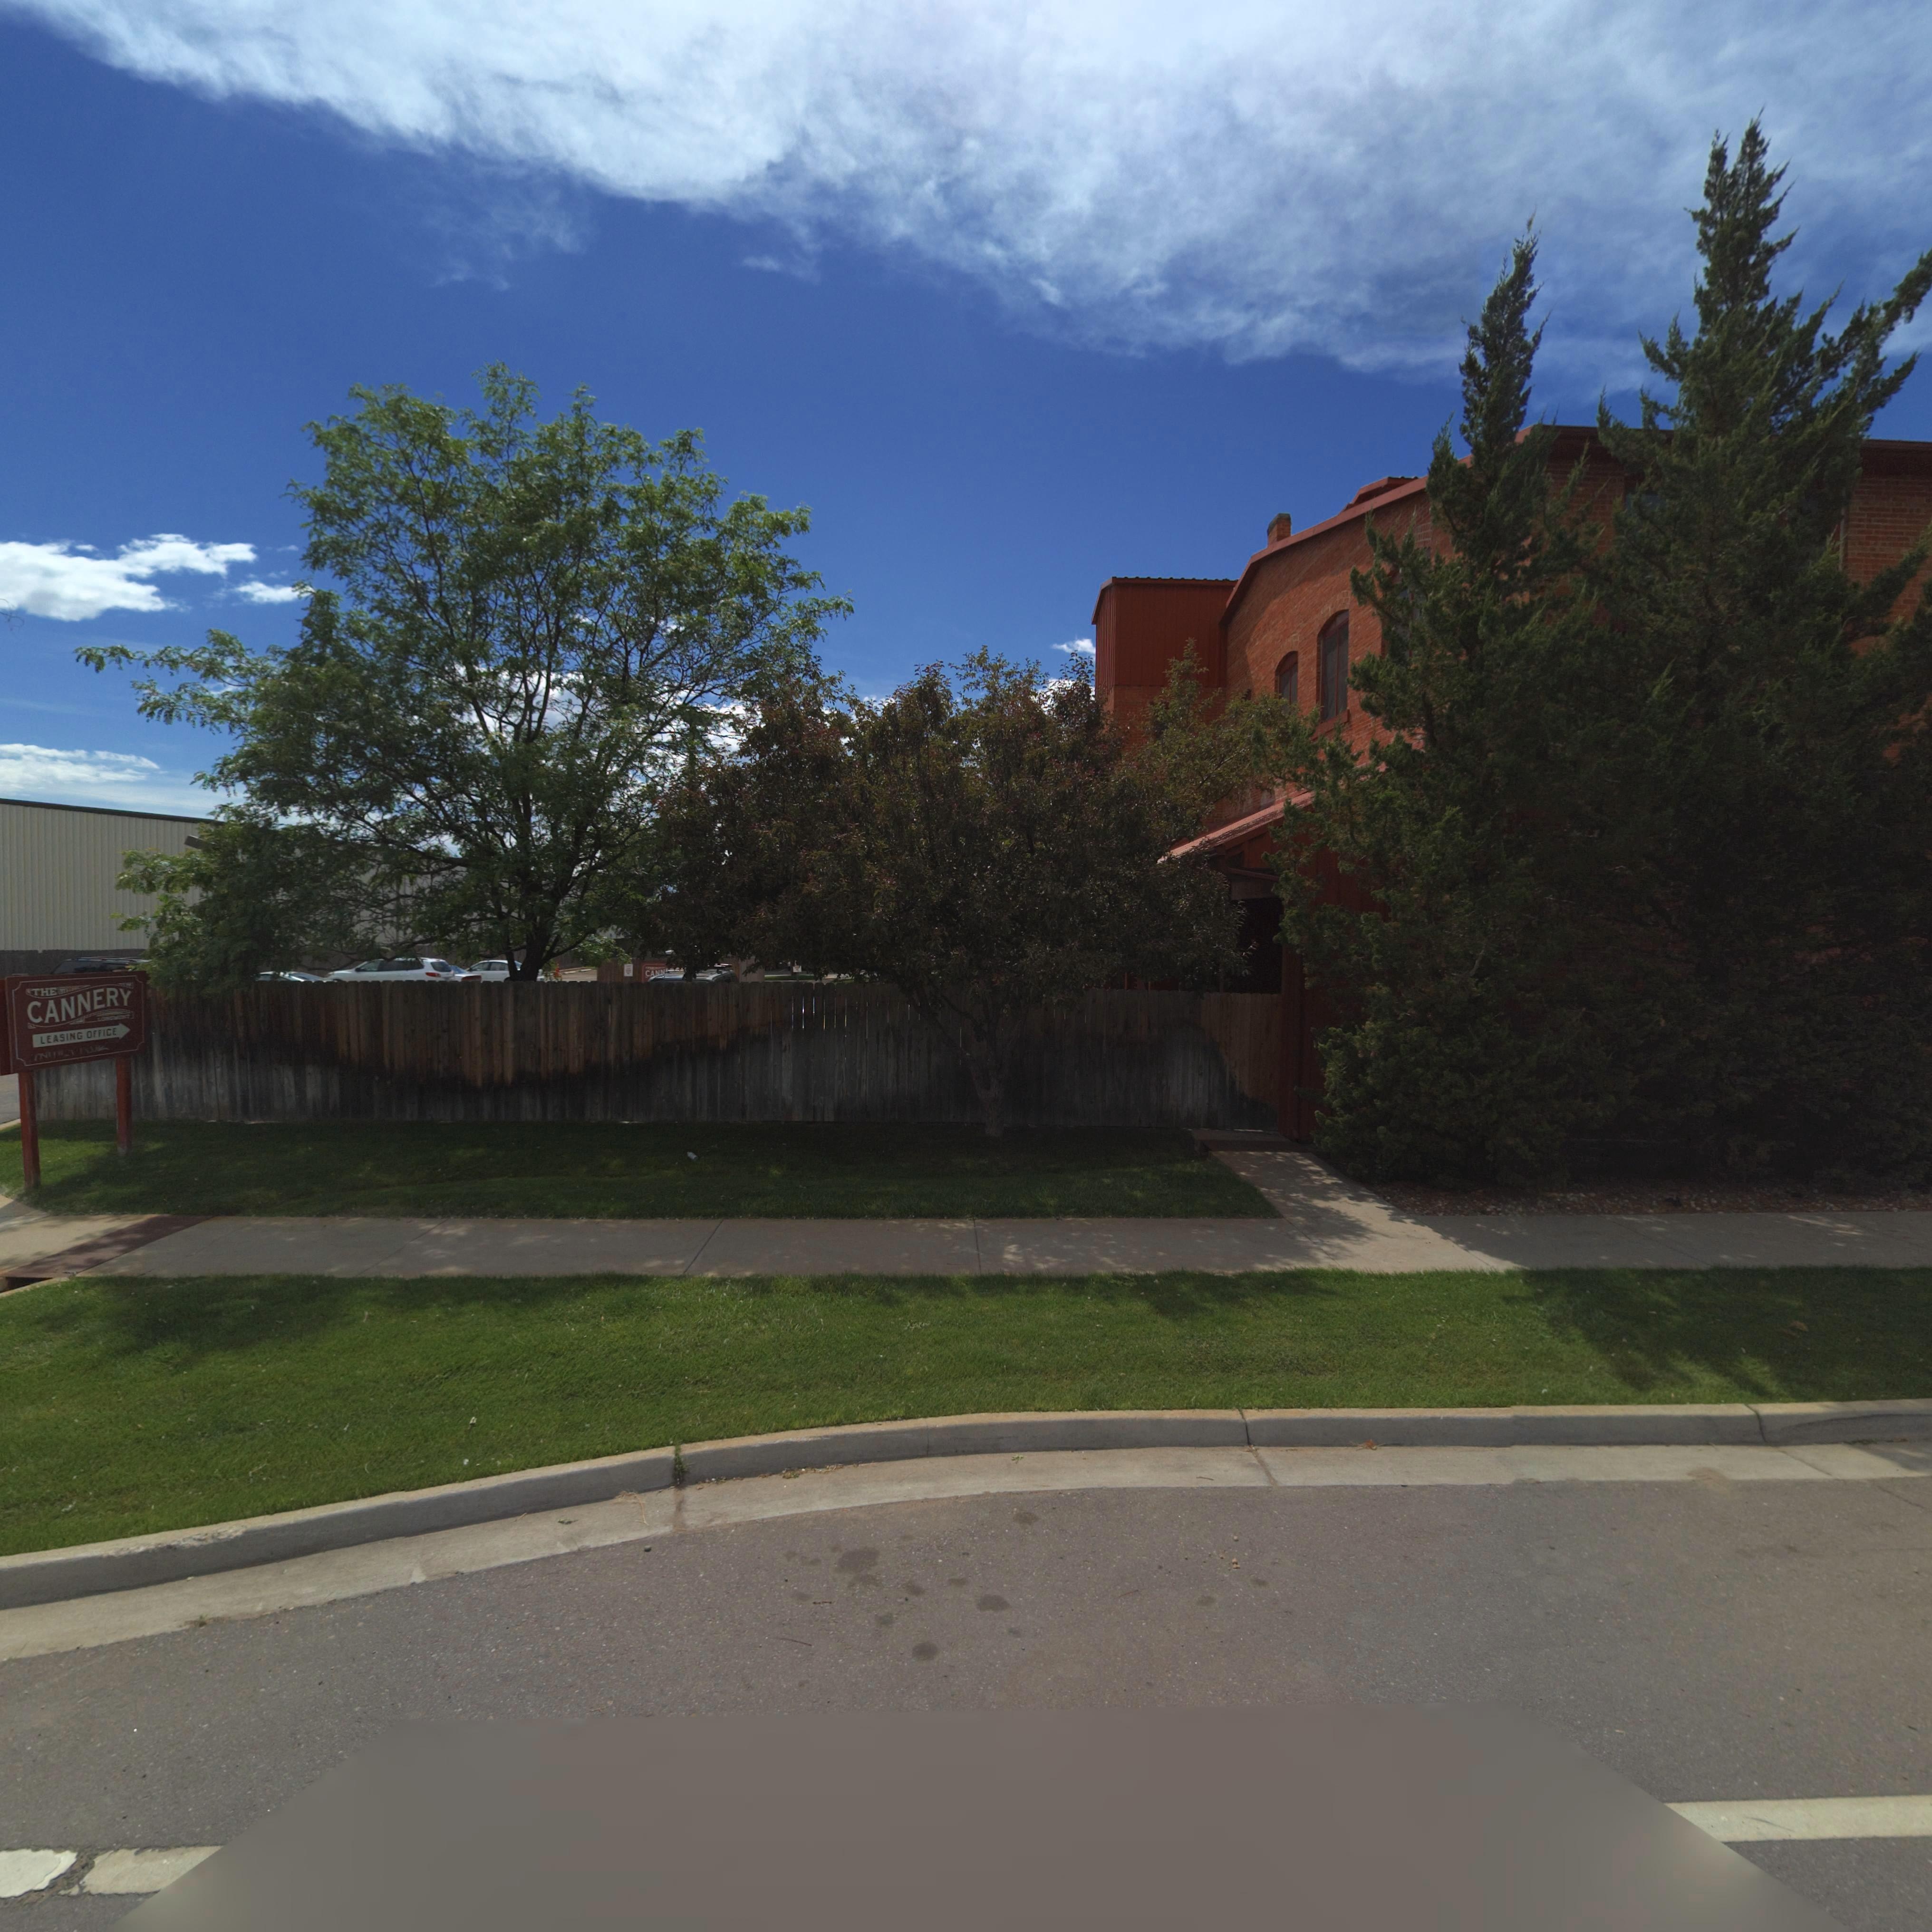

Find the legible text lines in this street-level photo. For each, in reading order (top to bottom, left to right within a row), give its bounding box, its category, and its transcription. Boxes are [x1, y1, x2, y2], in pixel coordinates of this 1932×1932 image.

[28, 986, 58, 997] BusinessName: THE
[25, 986, 134, 1025] BusinessName: CANNERY